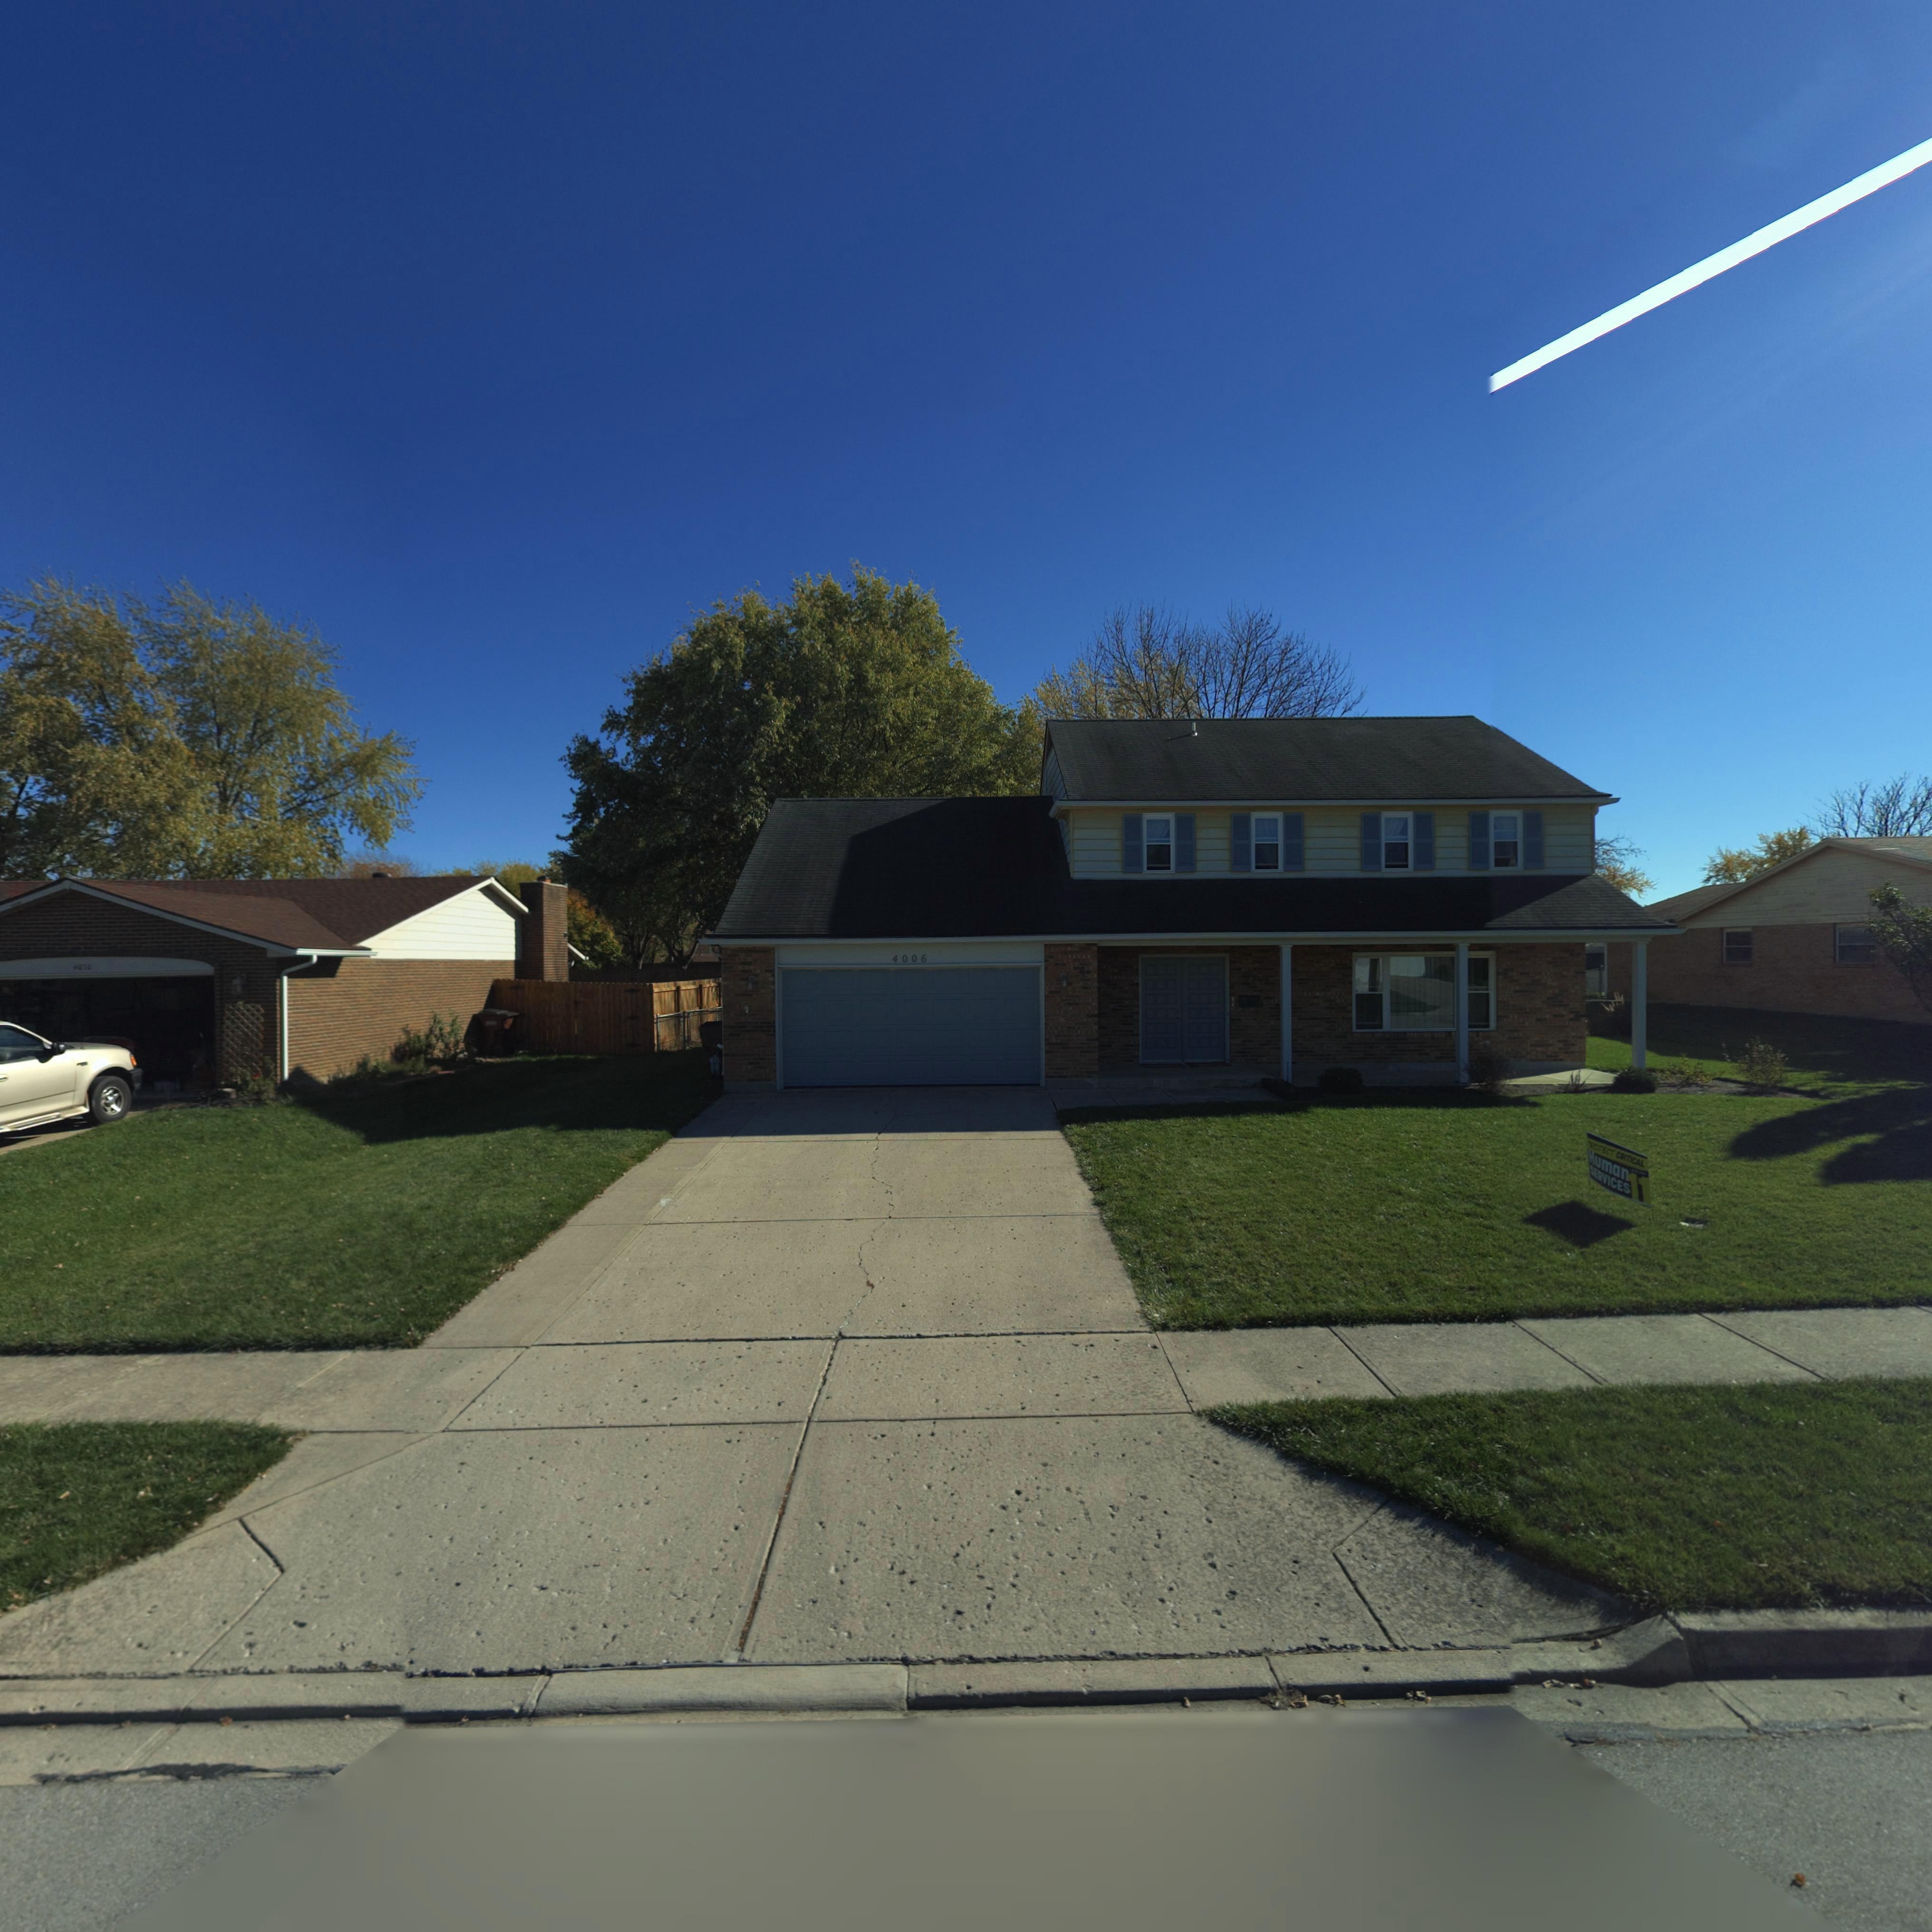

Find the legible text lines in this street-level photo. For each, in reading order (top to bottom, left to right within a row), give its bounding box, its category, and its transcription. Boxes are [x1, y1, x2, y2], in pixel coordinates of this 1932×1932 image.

[892, 954, 927, 963] StreetNumber: 4006
[73, 963, 92, 971] StreetNumber: 4010